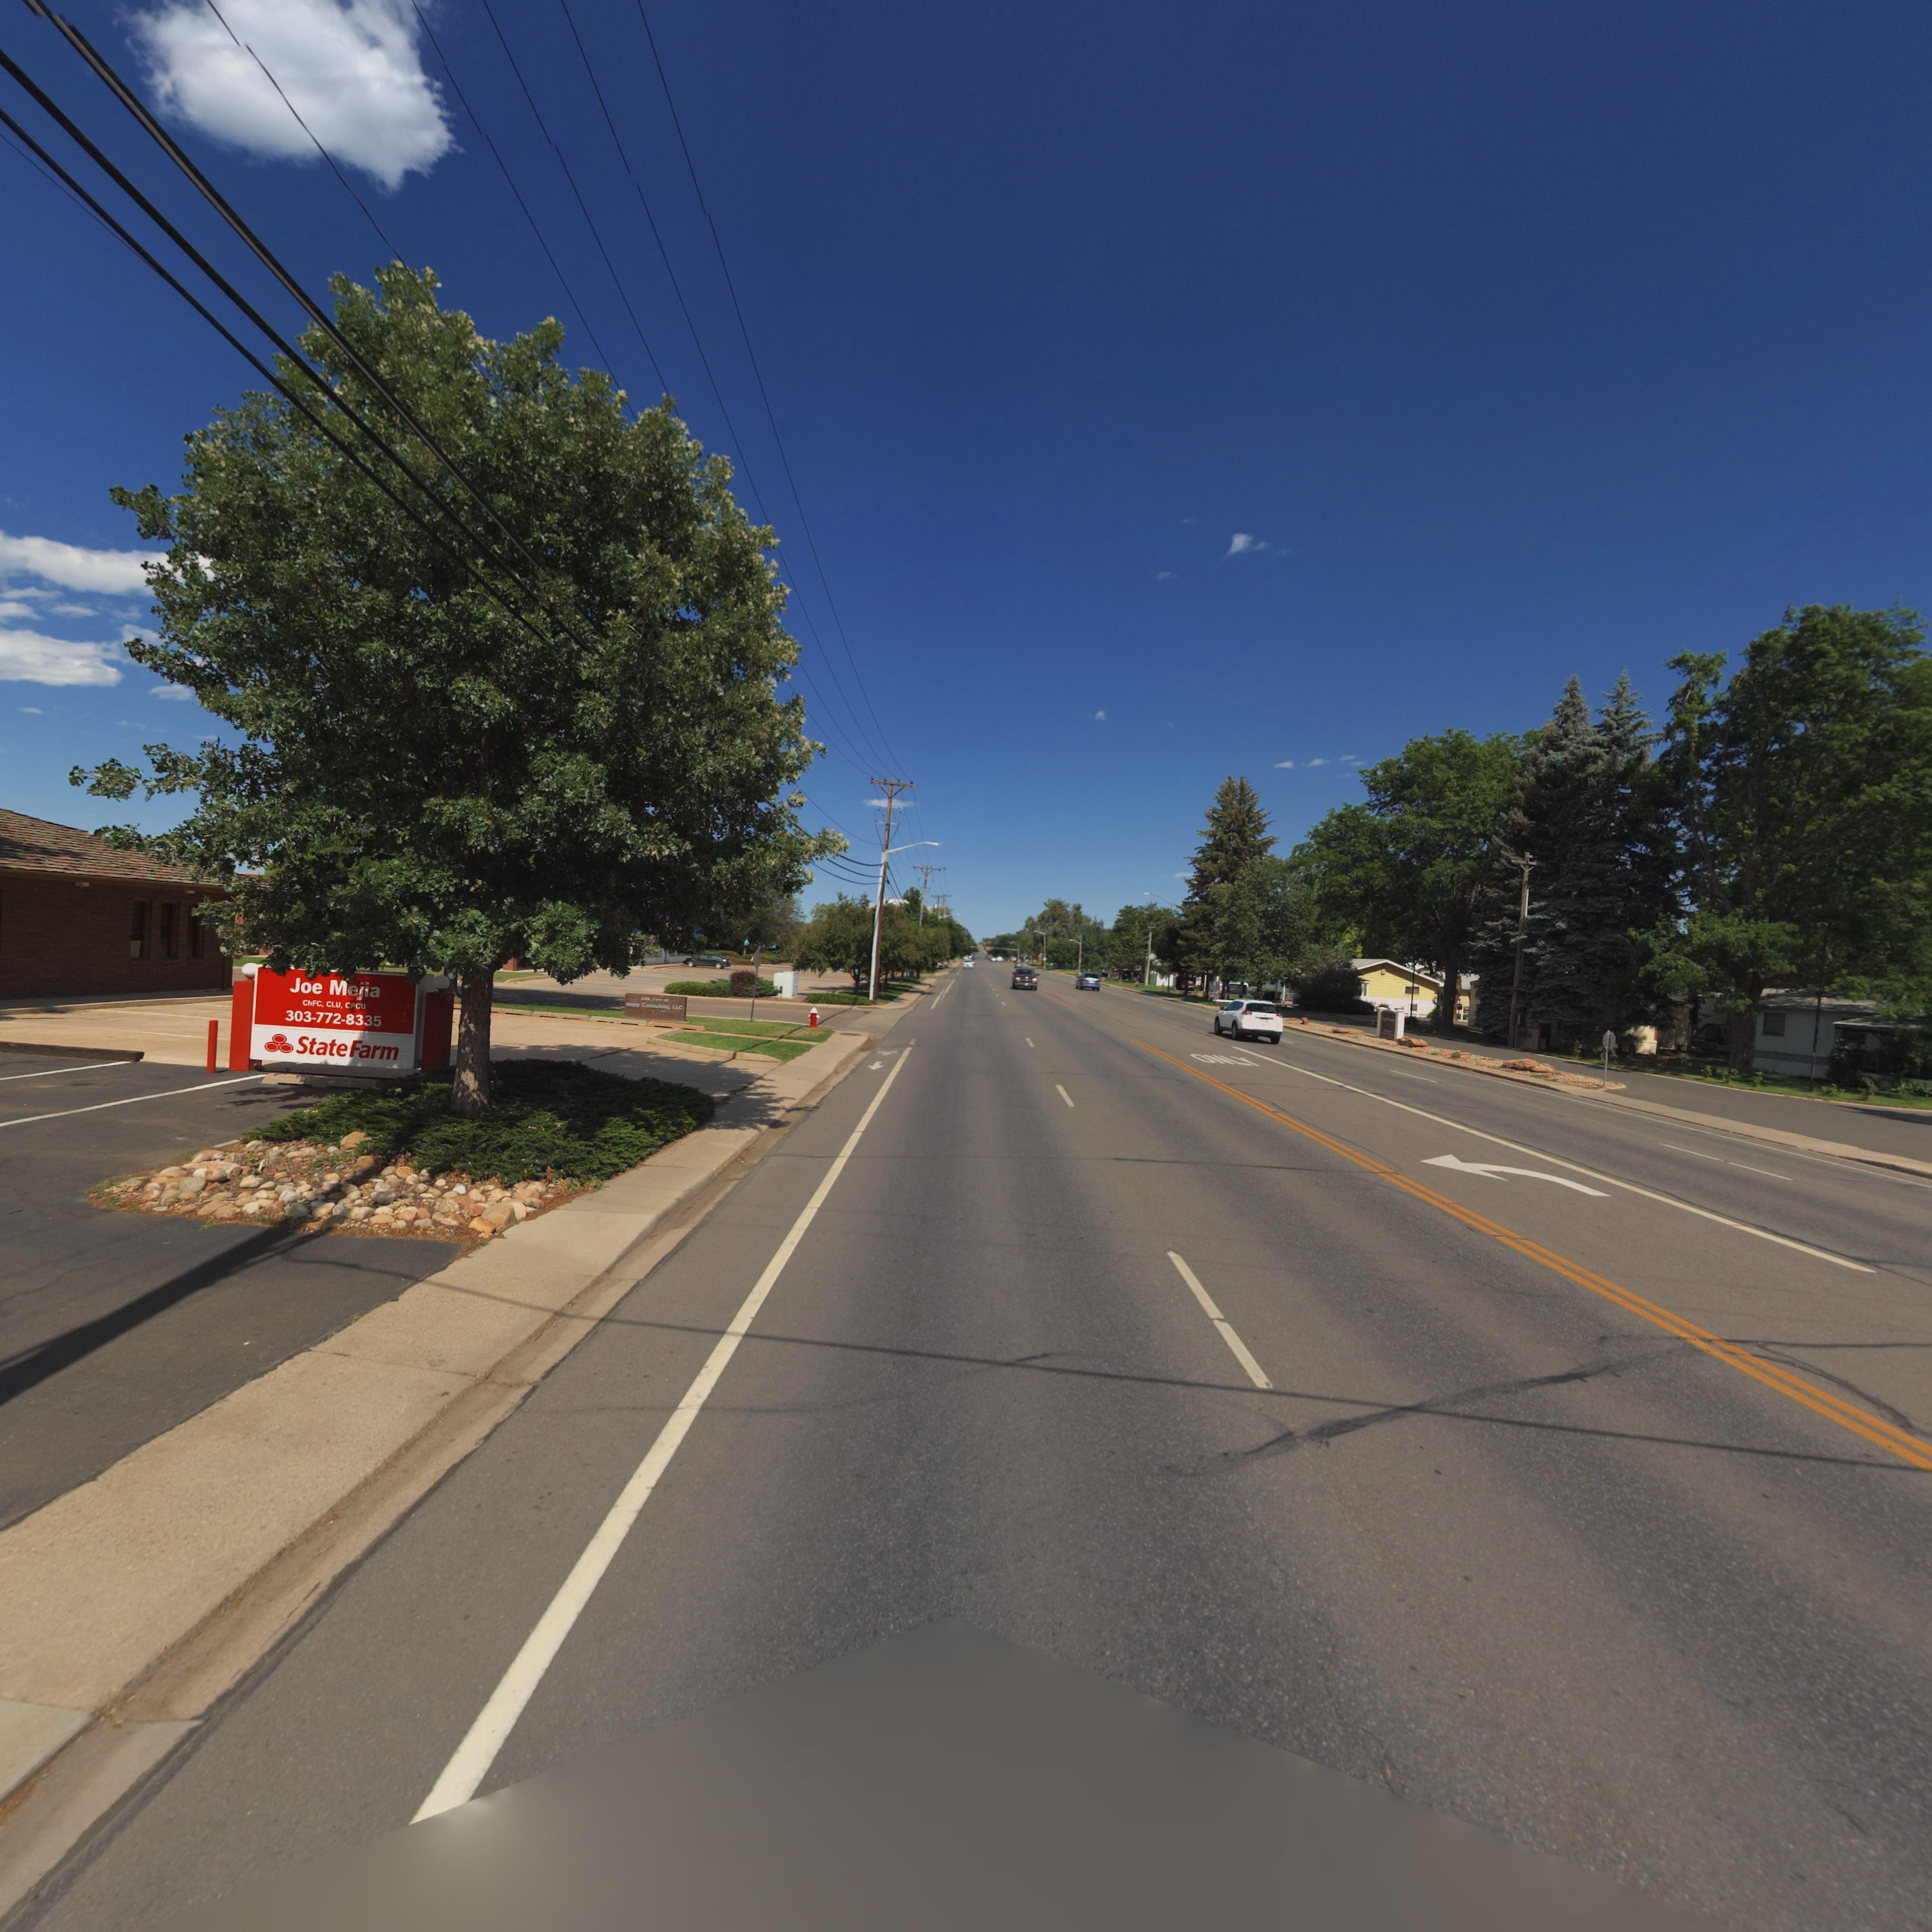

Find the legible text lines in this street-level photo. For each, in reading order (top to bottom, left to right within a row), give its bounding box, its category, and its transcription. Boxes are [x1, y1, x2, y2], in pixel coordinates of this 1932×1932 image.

[640, 996, 669, 1002] BusinessName: C*A F*** of
[626, 1002, 683, 1010] BusinessName: Hopp Con*ul***g, LLC
[294, 1034, 401, 1062] BusinessName: State Farm